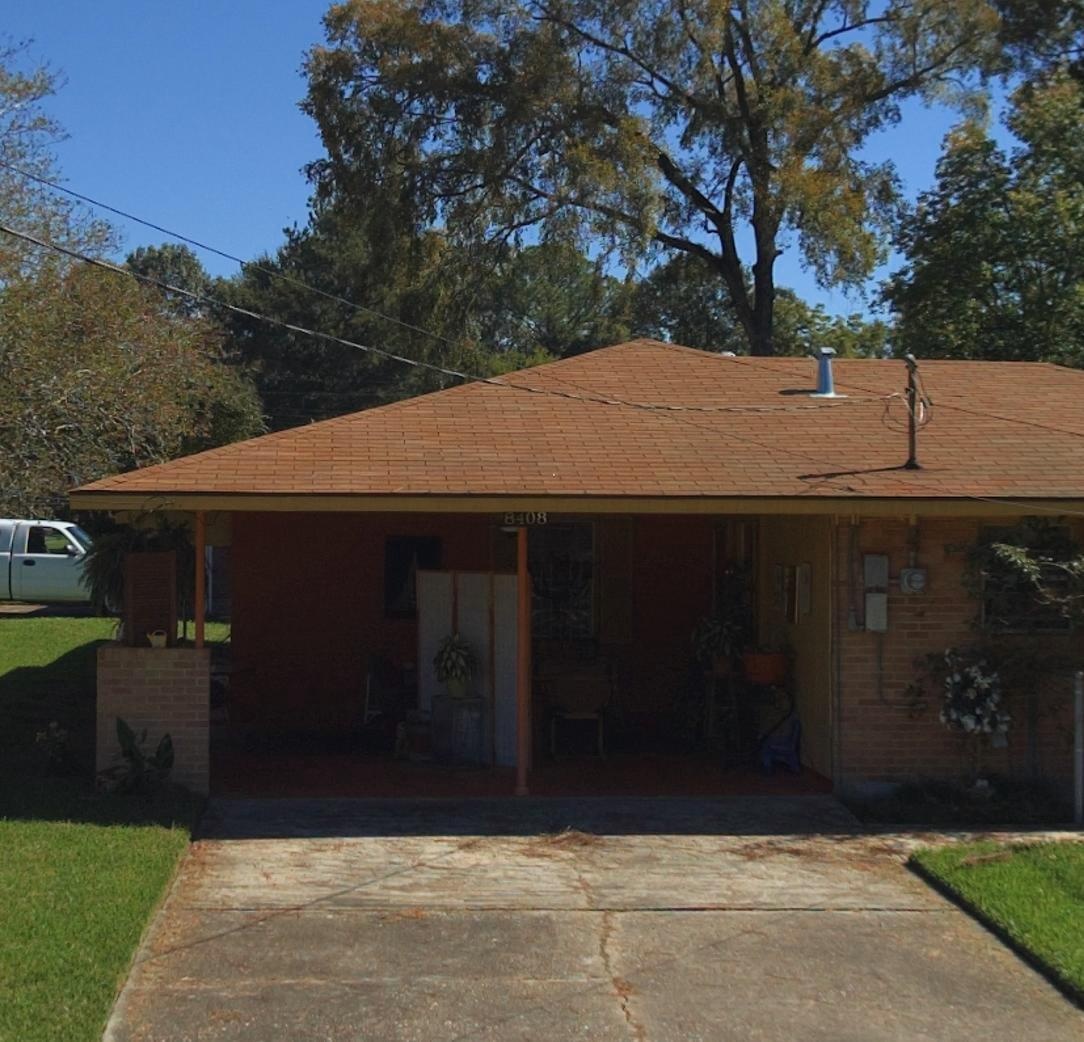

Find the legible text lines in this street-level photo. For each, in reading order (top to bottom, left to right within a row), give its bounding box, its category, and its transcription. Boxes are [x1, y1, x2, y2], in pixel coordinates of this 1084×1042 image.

[502, 510, 549, 527] StreetNumber: 8408